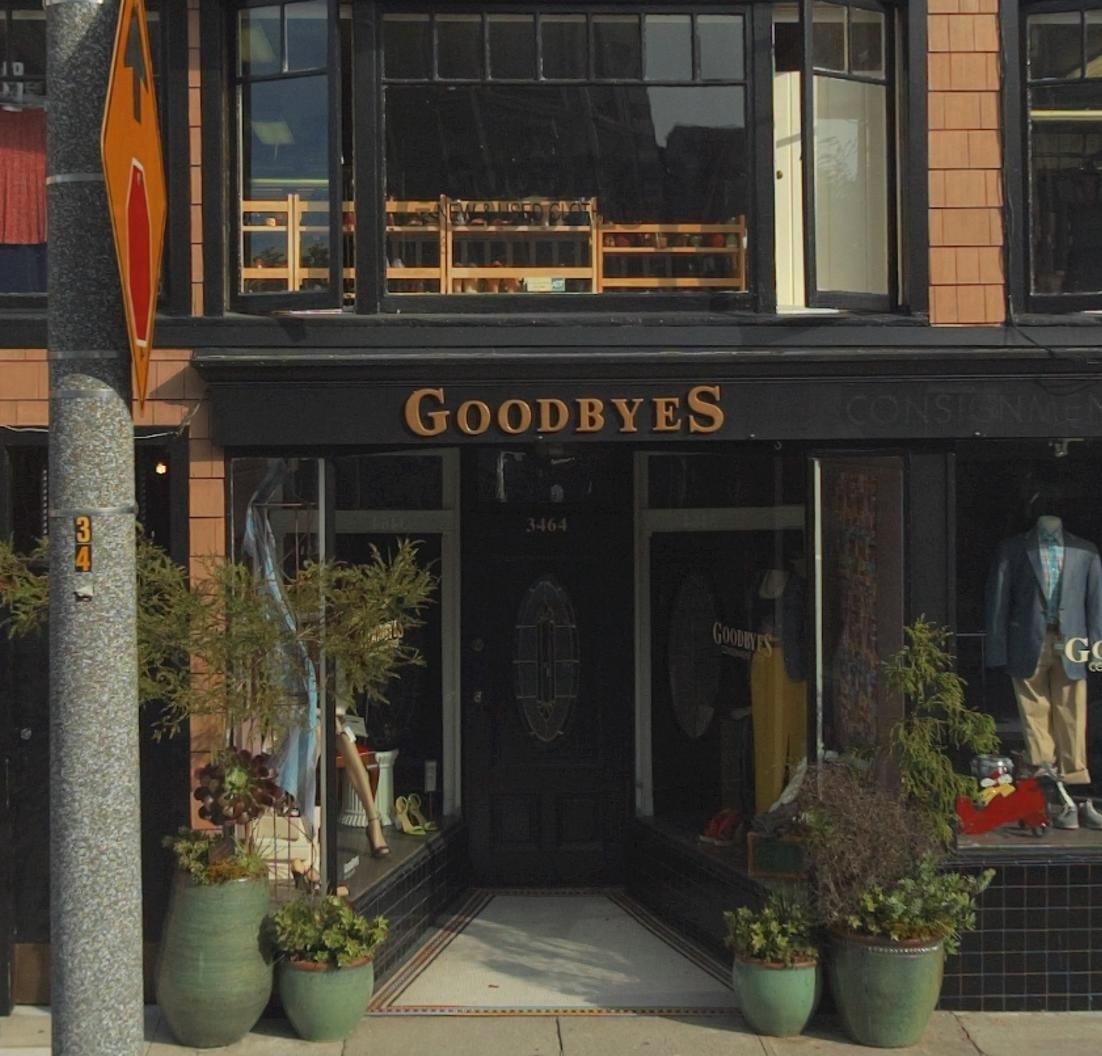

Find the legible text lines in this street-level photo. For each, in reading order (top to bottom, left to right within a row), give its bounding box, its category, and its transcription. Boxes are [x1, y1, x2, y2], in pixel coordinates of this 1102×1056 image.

[399, 380, 729, 441] BusinessName: GOODBYES
[843, 387, 1090, 432] None: CONSIGNME
[74, 514, 93, 572] None: 34
[523, 514, 570, 535] StreetNumber: 3464
[710, 617, 776, 661] BusinessName: GOODBYES
[1060, 632, 1094, 671] BusinessName: G